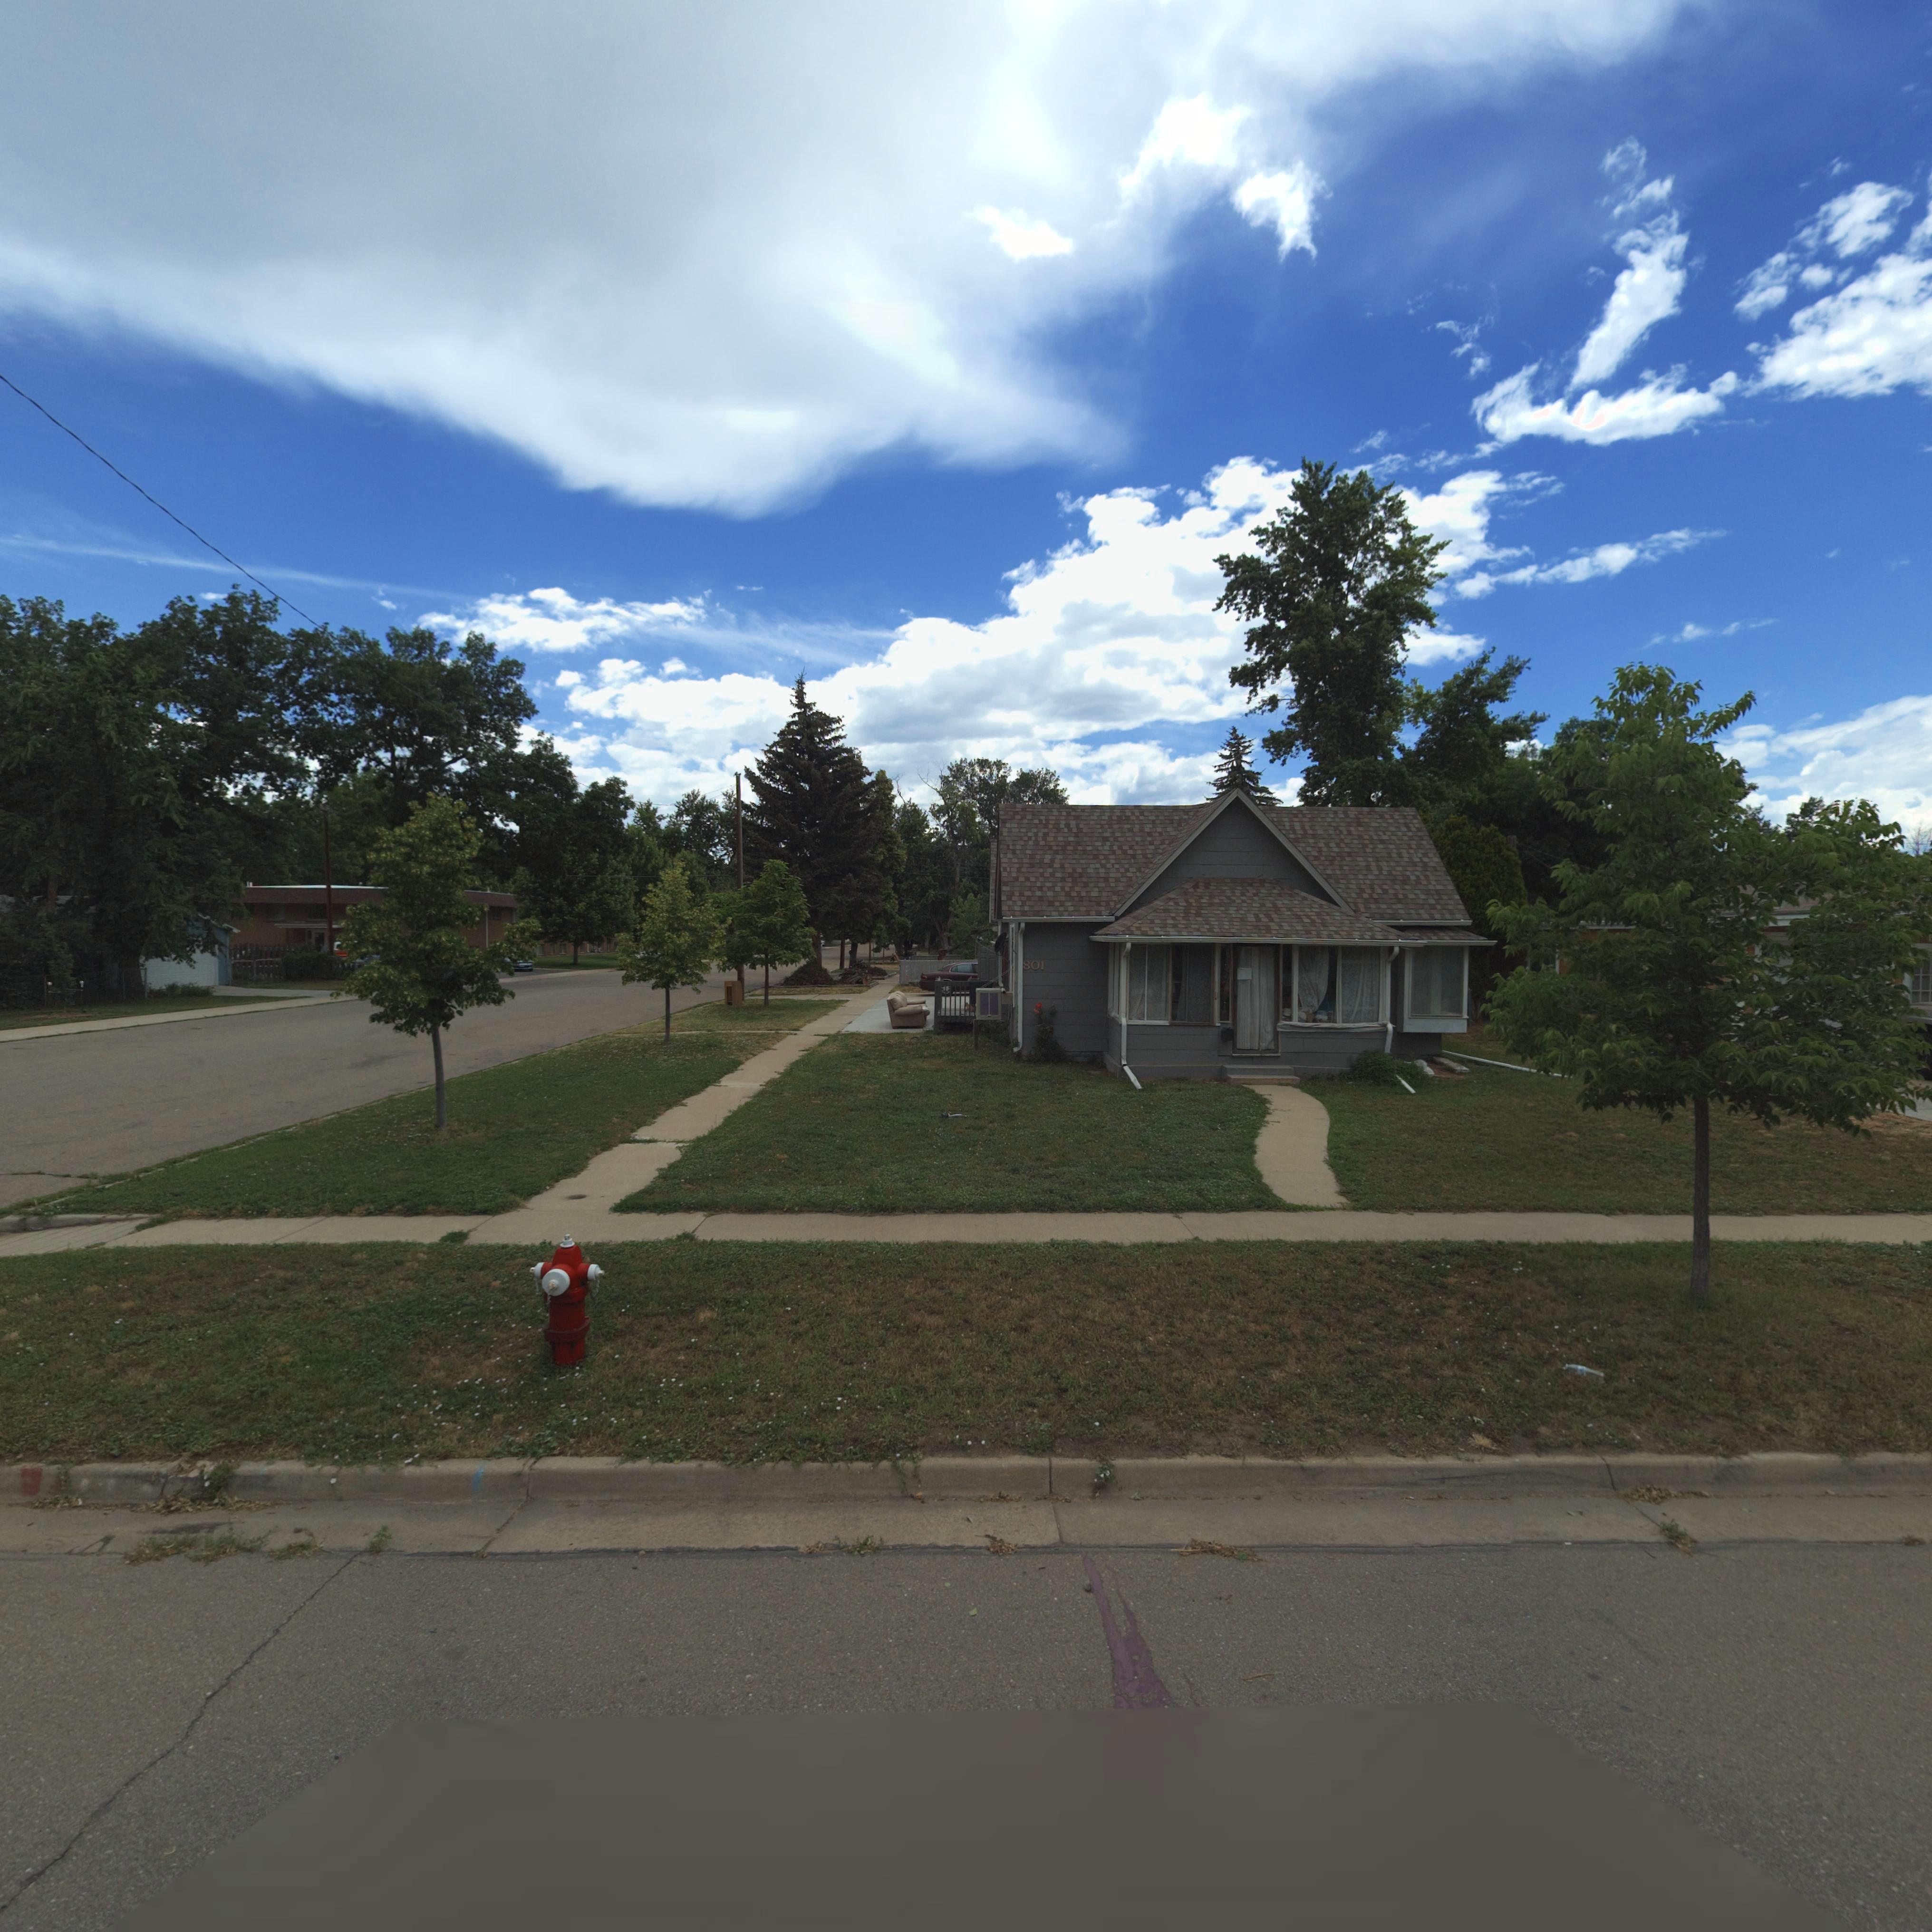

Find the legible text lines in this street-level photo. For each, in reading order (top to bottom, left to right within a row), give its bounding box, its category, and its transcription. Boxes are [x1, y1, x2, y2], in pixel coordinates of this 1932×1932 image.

[1023, 960, 1044, 970] StreetNumber: 801